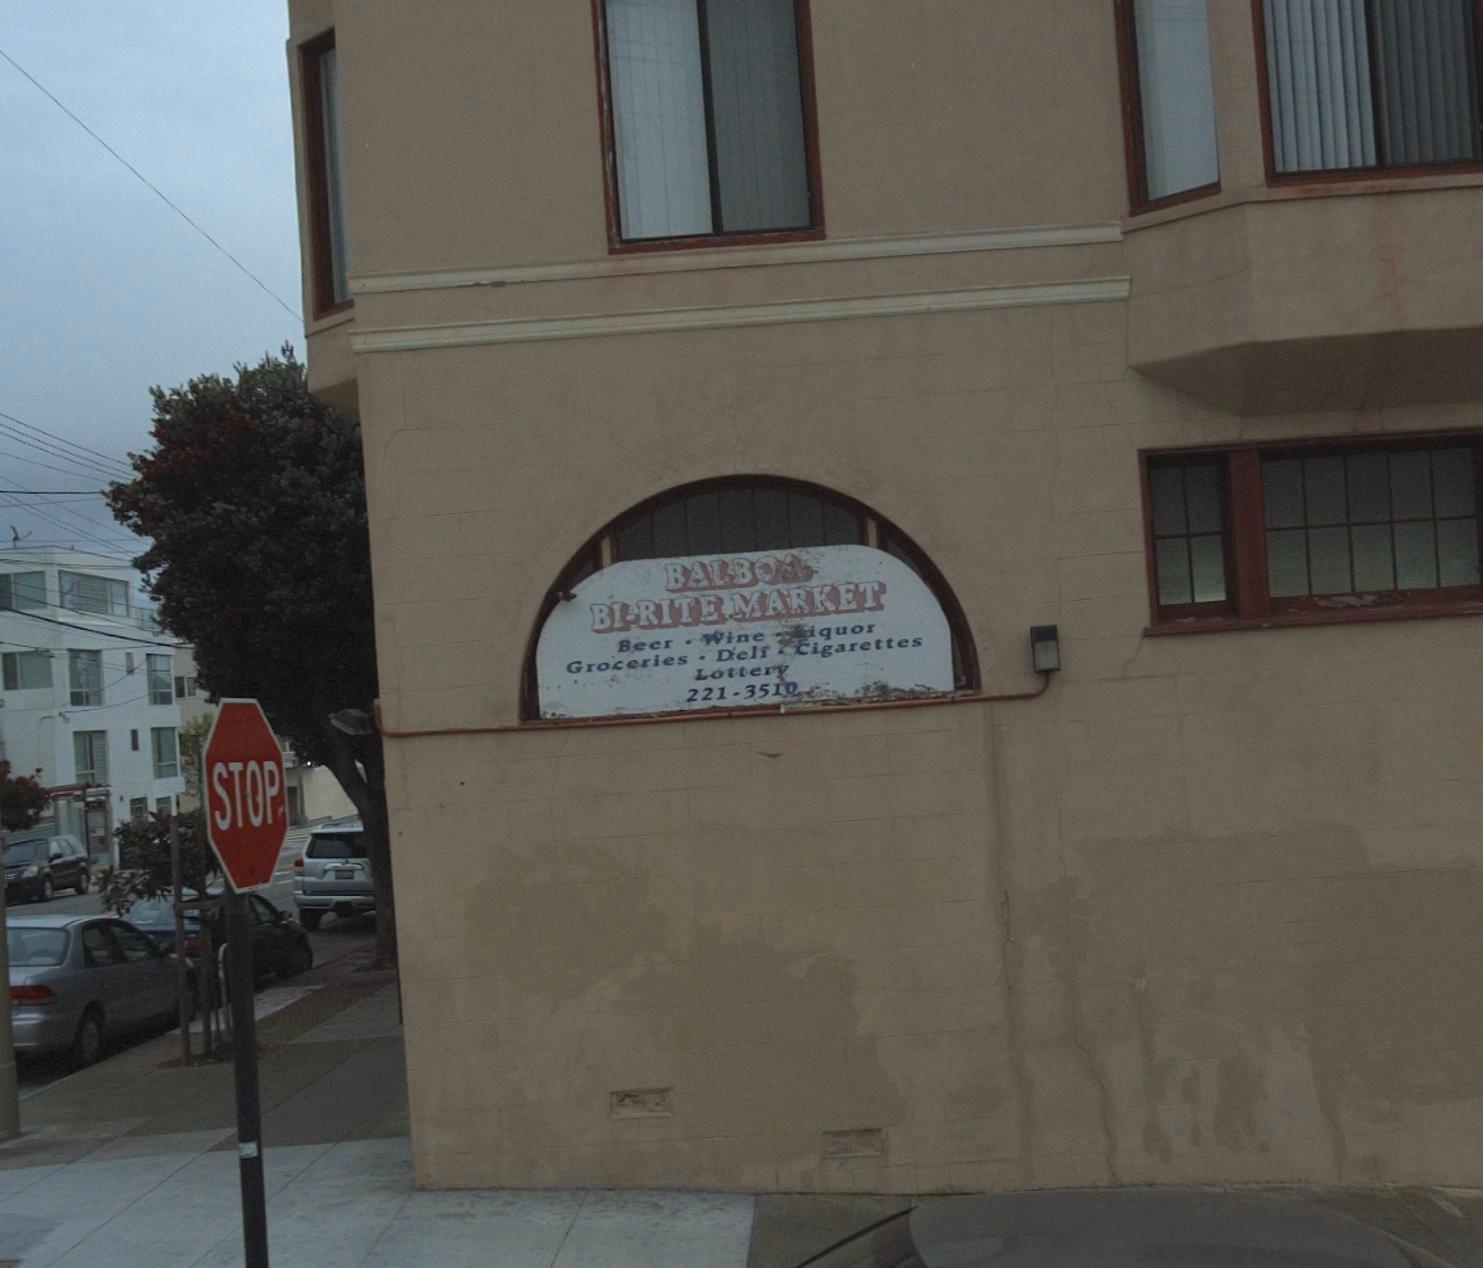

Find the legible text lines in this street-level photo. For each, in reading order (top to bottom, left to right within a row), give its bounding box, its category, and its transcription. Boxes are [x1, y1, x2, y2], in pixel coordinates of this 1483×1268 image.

[662, 551, 807, 593] BusinessName: BALBO*
[587, 579, 882, 634] BusinessName: BI RITE MARKET
[683, 679, 800, 705] None: 221-3510
[692, 662, 792, 684] None: Lottery
[562, 635, 925, 678] None: Groceries * Deli * Cigarettes
[614, 621, 878, 656] None: Beer * Wine ***iquor
[209, 756, 283, 836] None: STOP